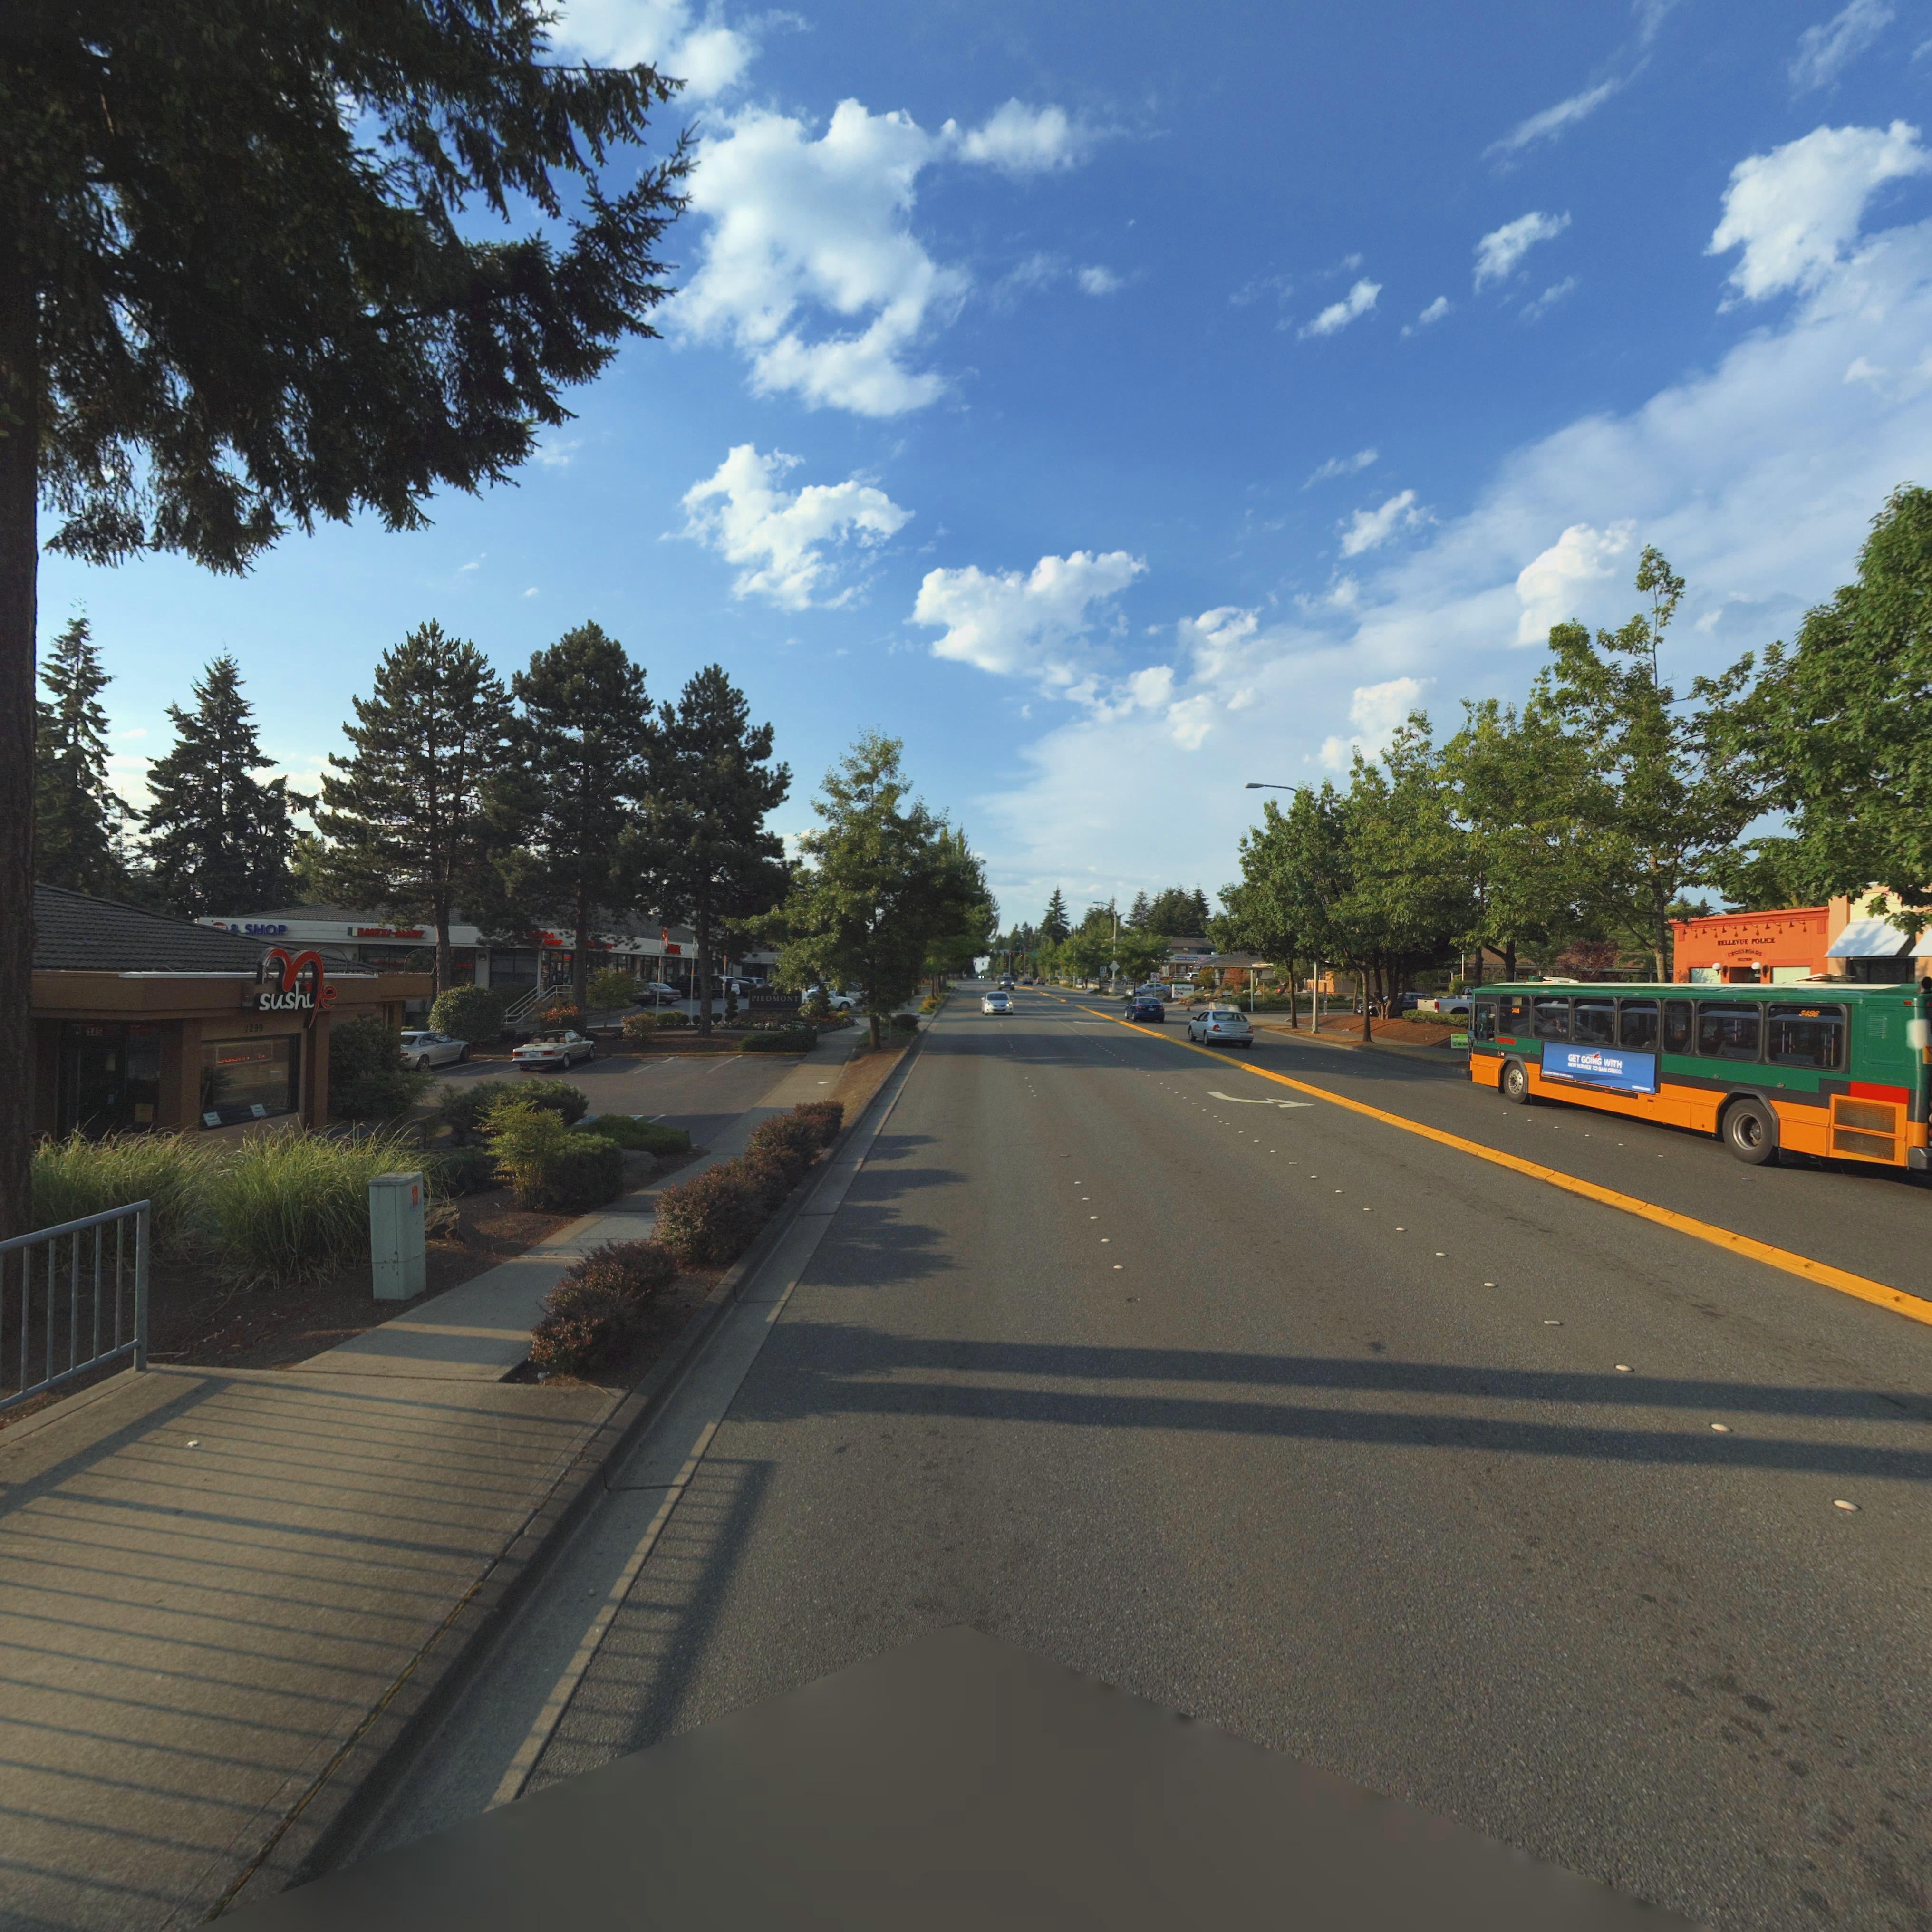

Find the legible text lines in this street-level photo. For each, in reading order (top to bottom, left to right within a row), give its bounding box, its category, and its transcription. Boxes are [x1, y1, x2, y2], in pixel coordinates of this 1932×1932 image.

[244, 924, 287, 936] BusinessName: SHOP
[1717, 937, 1775, 945] BusinessName: BELLEVUE POLICE
[257, 977, 338, 1010] BusinessName: sushi*e
[245, 1022, 263, 1033] StreetNumber: 1299